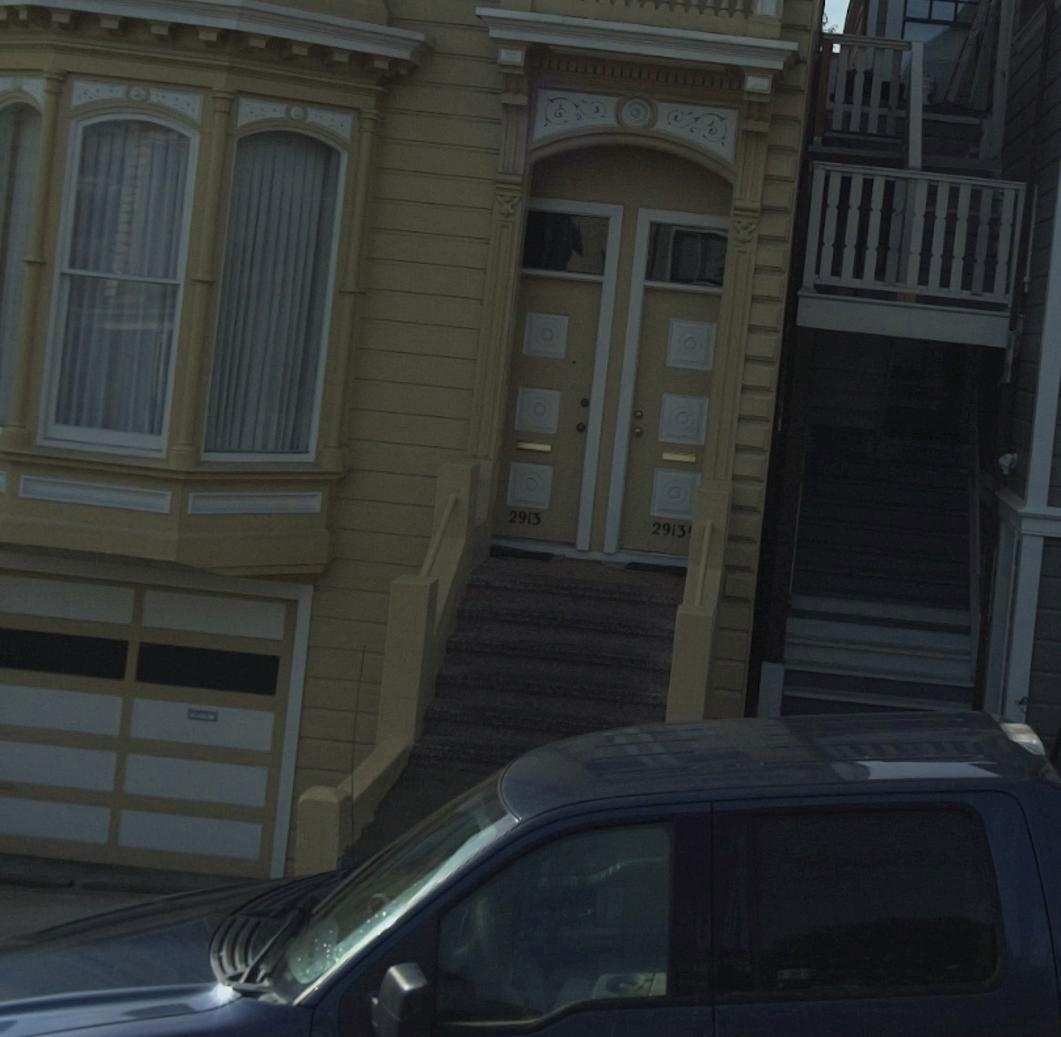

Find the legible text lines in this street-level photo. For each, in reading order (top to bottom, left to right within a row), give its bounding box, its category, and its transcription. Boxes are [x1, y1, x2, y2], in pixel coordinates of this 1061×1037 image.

[503, 506, 546, 529] StreetNumber: 2913
[645, 516, 689, 541] StreetNumber: 2913